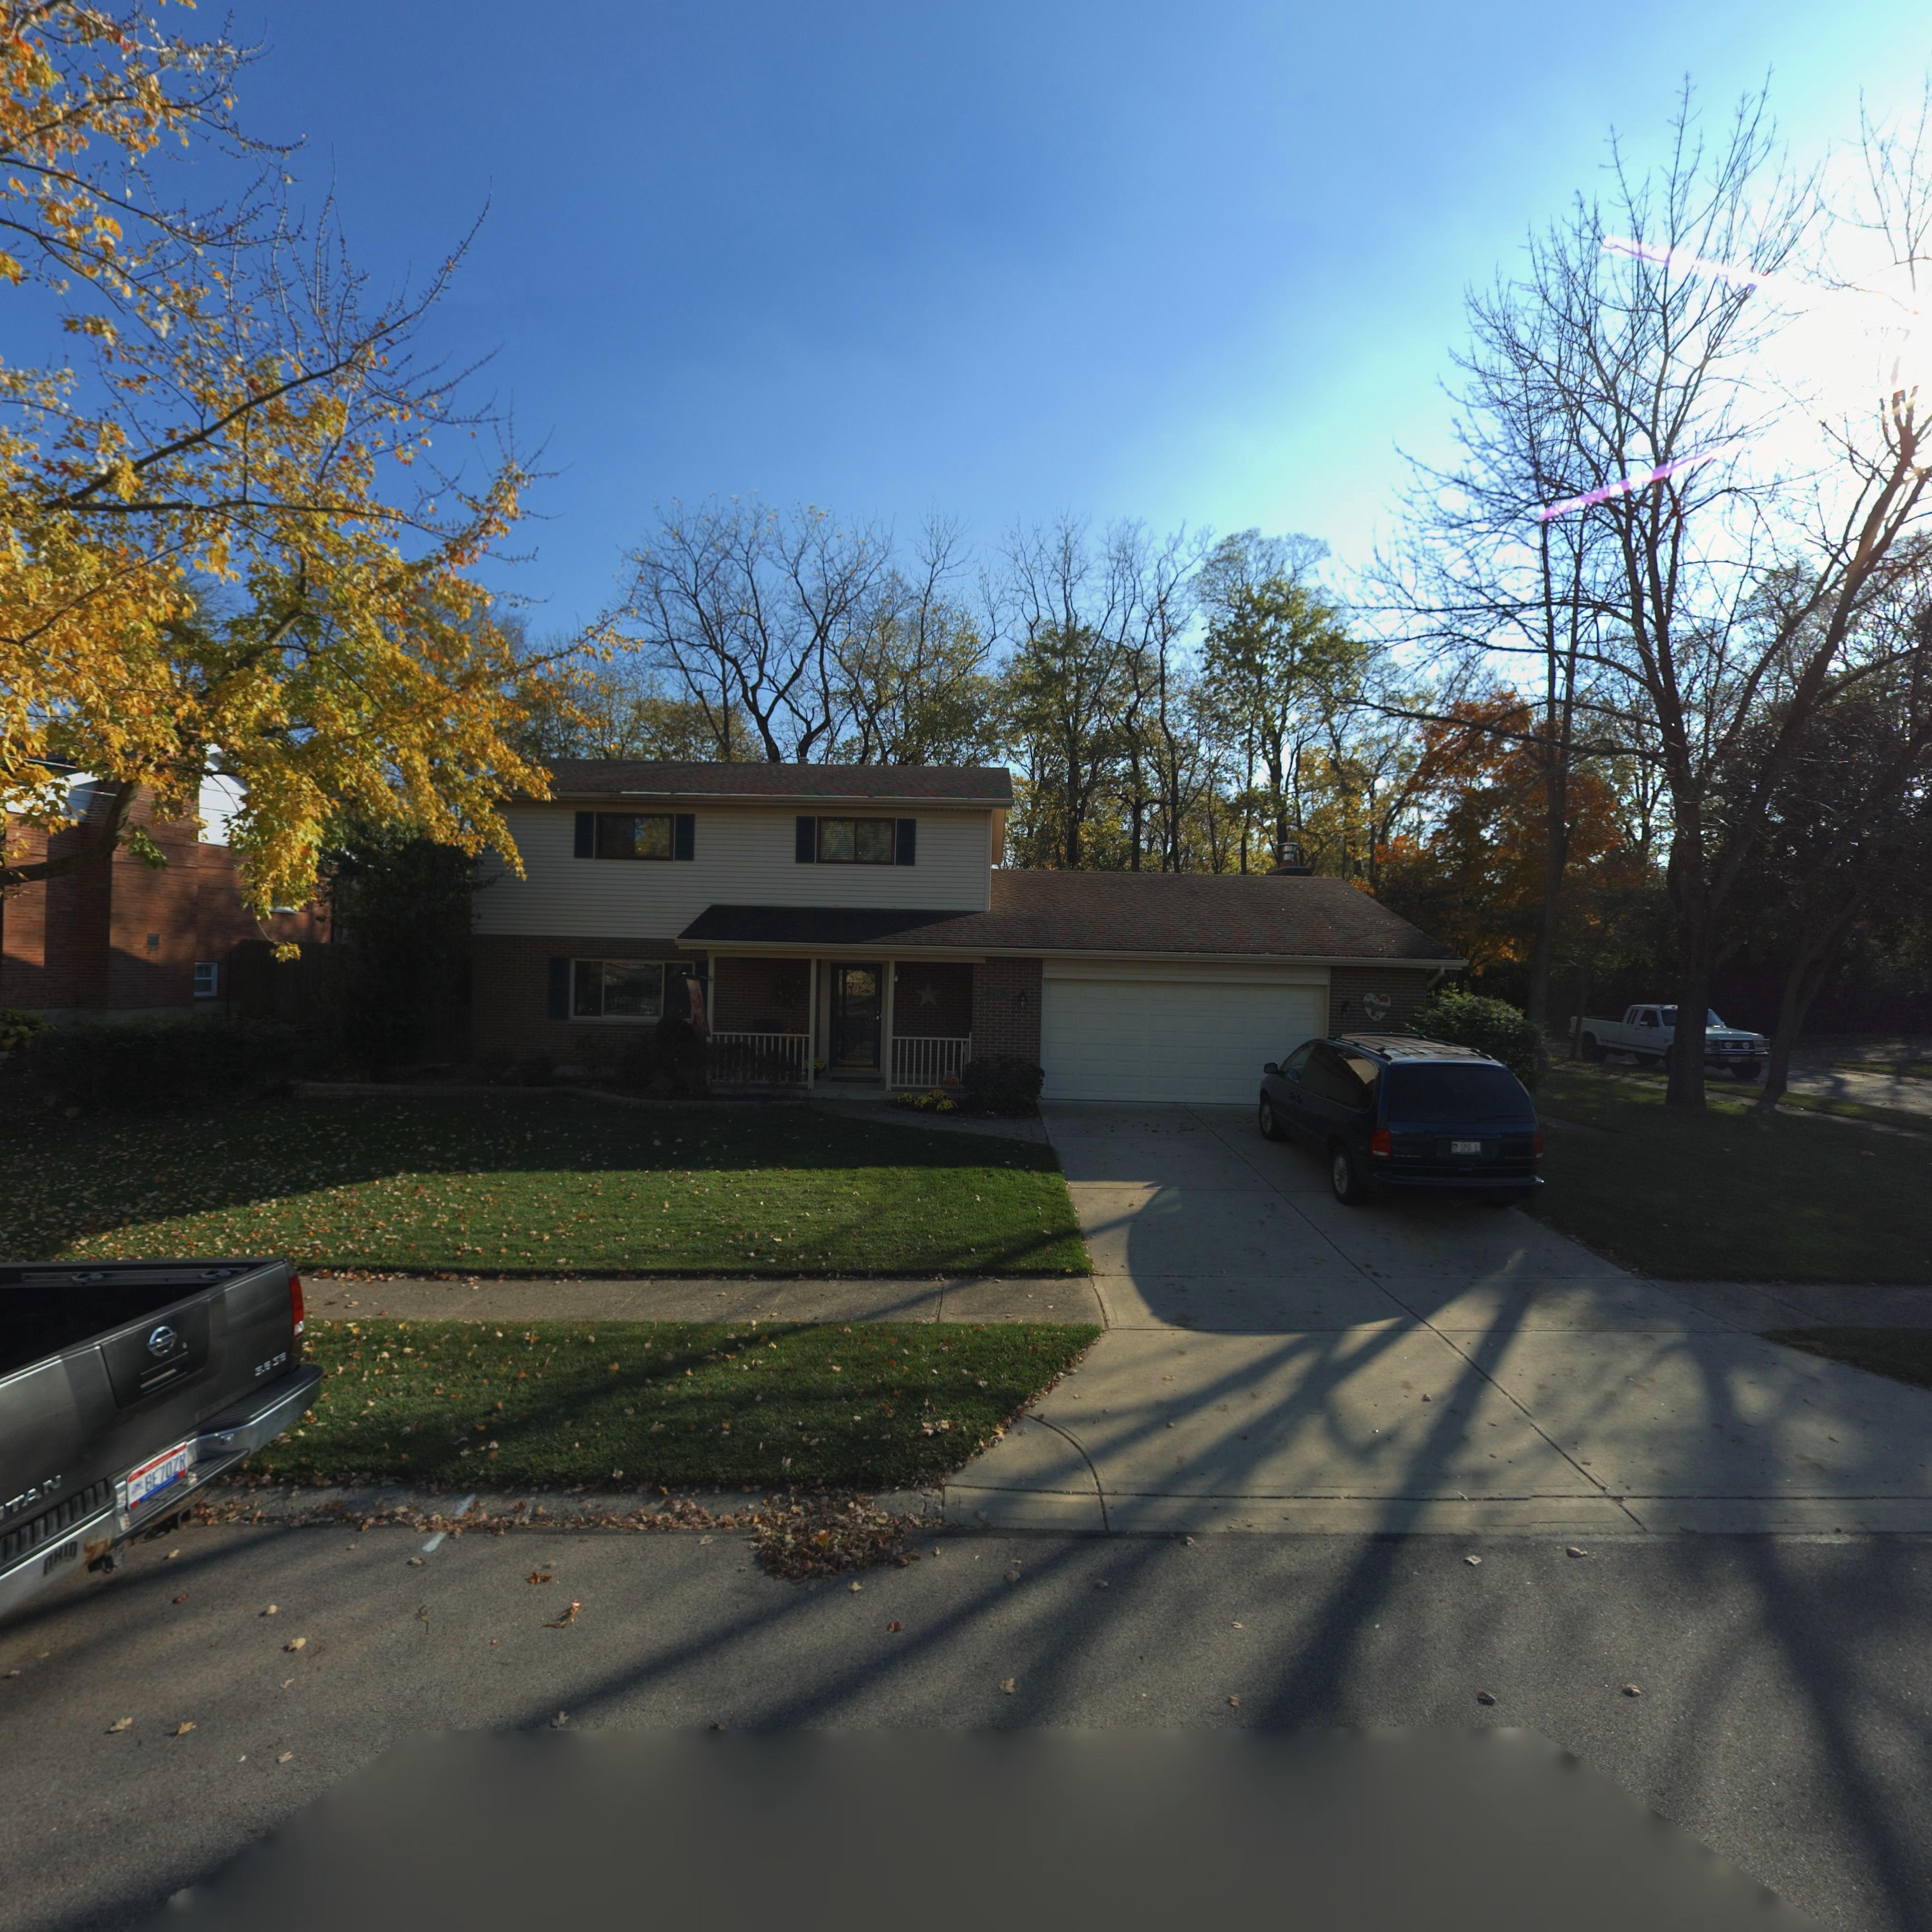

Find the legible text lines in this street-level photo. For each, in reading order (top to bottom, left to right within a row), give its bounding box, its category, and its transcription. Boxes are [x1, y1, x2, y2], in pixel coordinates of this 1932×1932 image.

[988, 989, 1003, 999] StreetNumber: 750